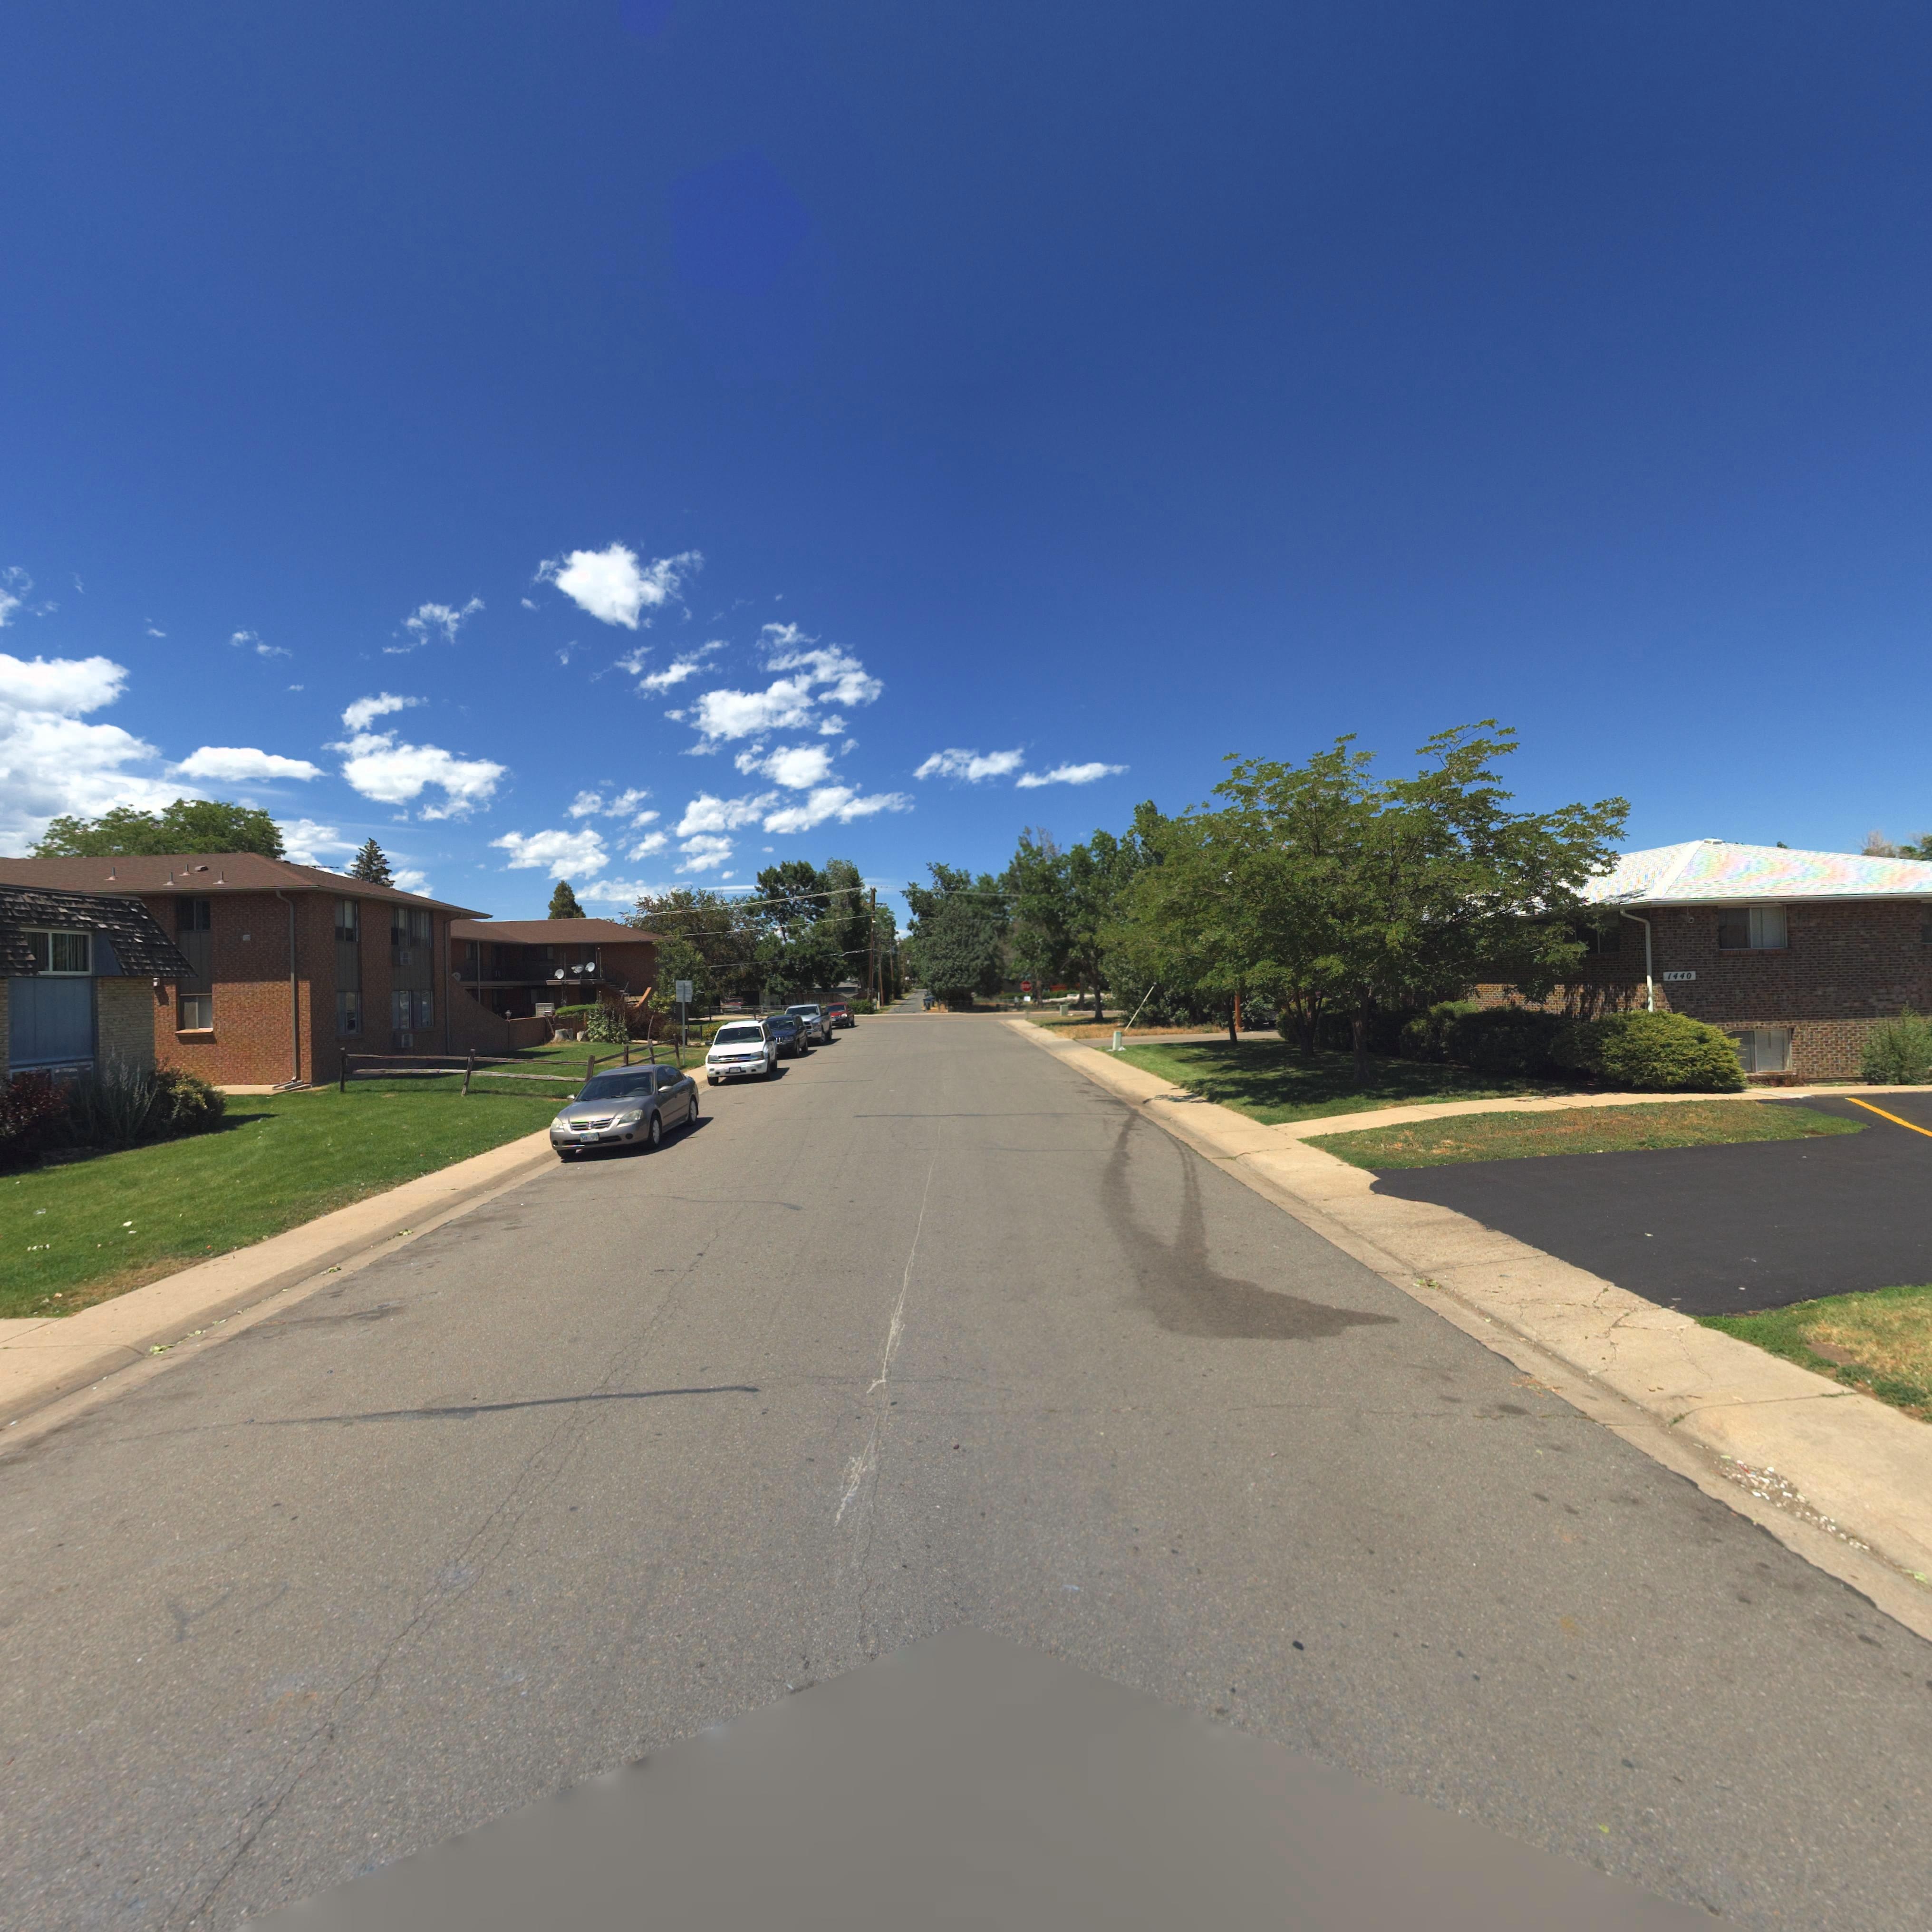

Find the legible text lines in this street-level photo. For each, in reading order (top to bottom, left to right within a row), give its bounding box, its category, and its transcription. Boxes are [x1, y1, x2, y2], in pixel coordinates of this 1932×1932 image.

[1667, 972, 1691, 979] StreetNumber: 1440